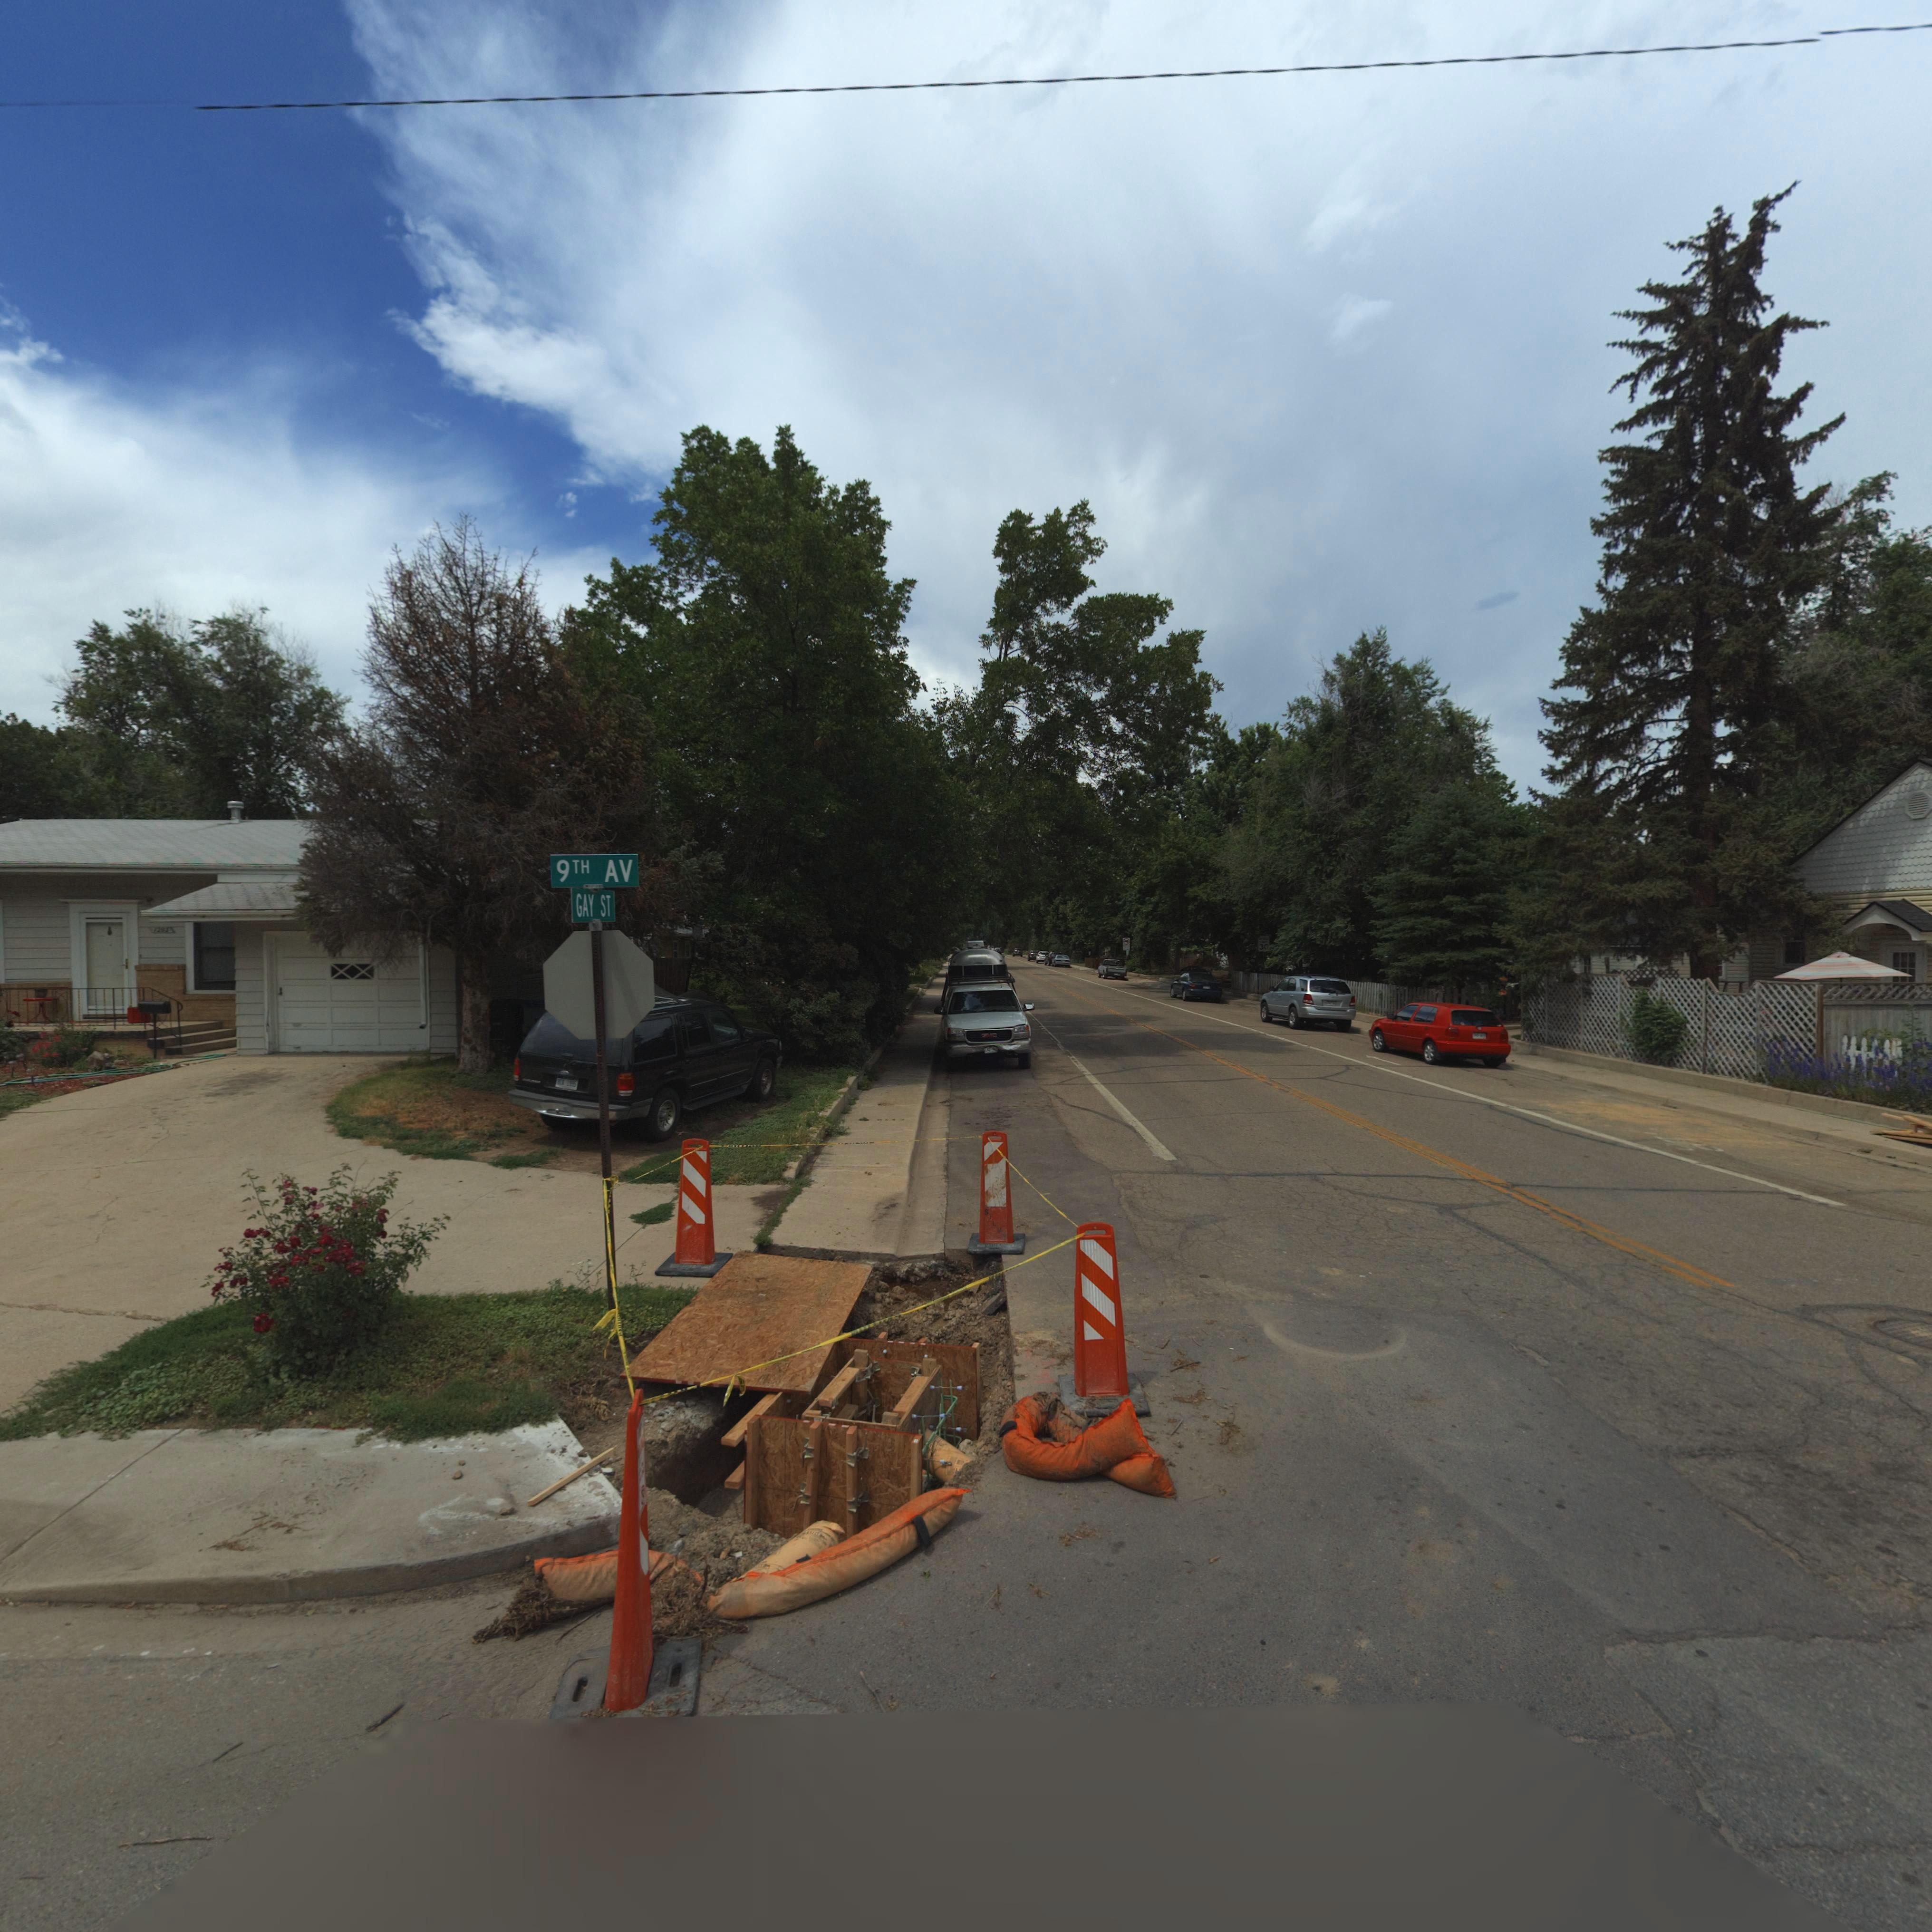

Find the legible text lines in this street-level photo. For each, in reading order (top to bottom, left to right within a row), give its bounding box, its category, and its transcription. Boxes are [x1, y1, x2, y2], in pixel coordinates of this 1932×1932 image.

[557, 860, 632, 881] StreetName: 9TH AV
[574, 892, 612, 918] StreetName: GAY ST
[152, 925, 177, 933] StreetNumber: 1283*